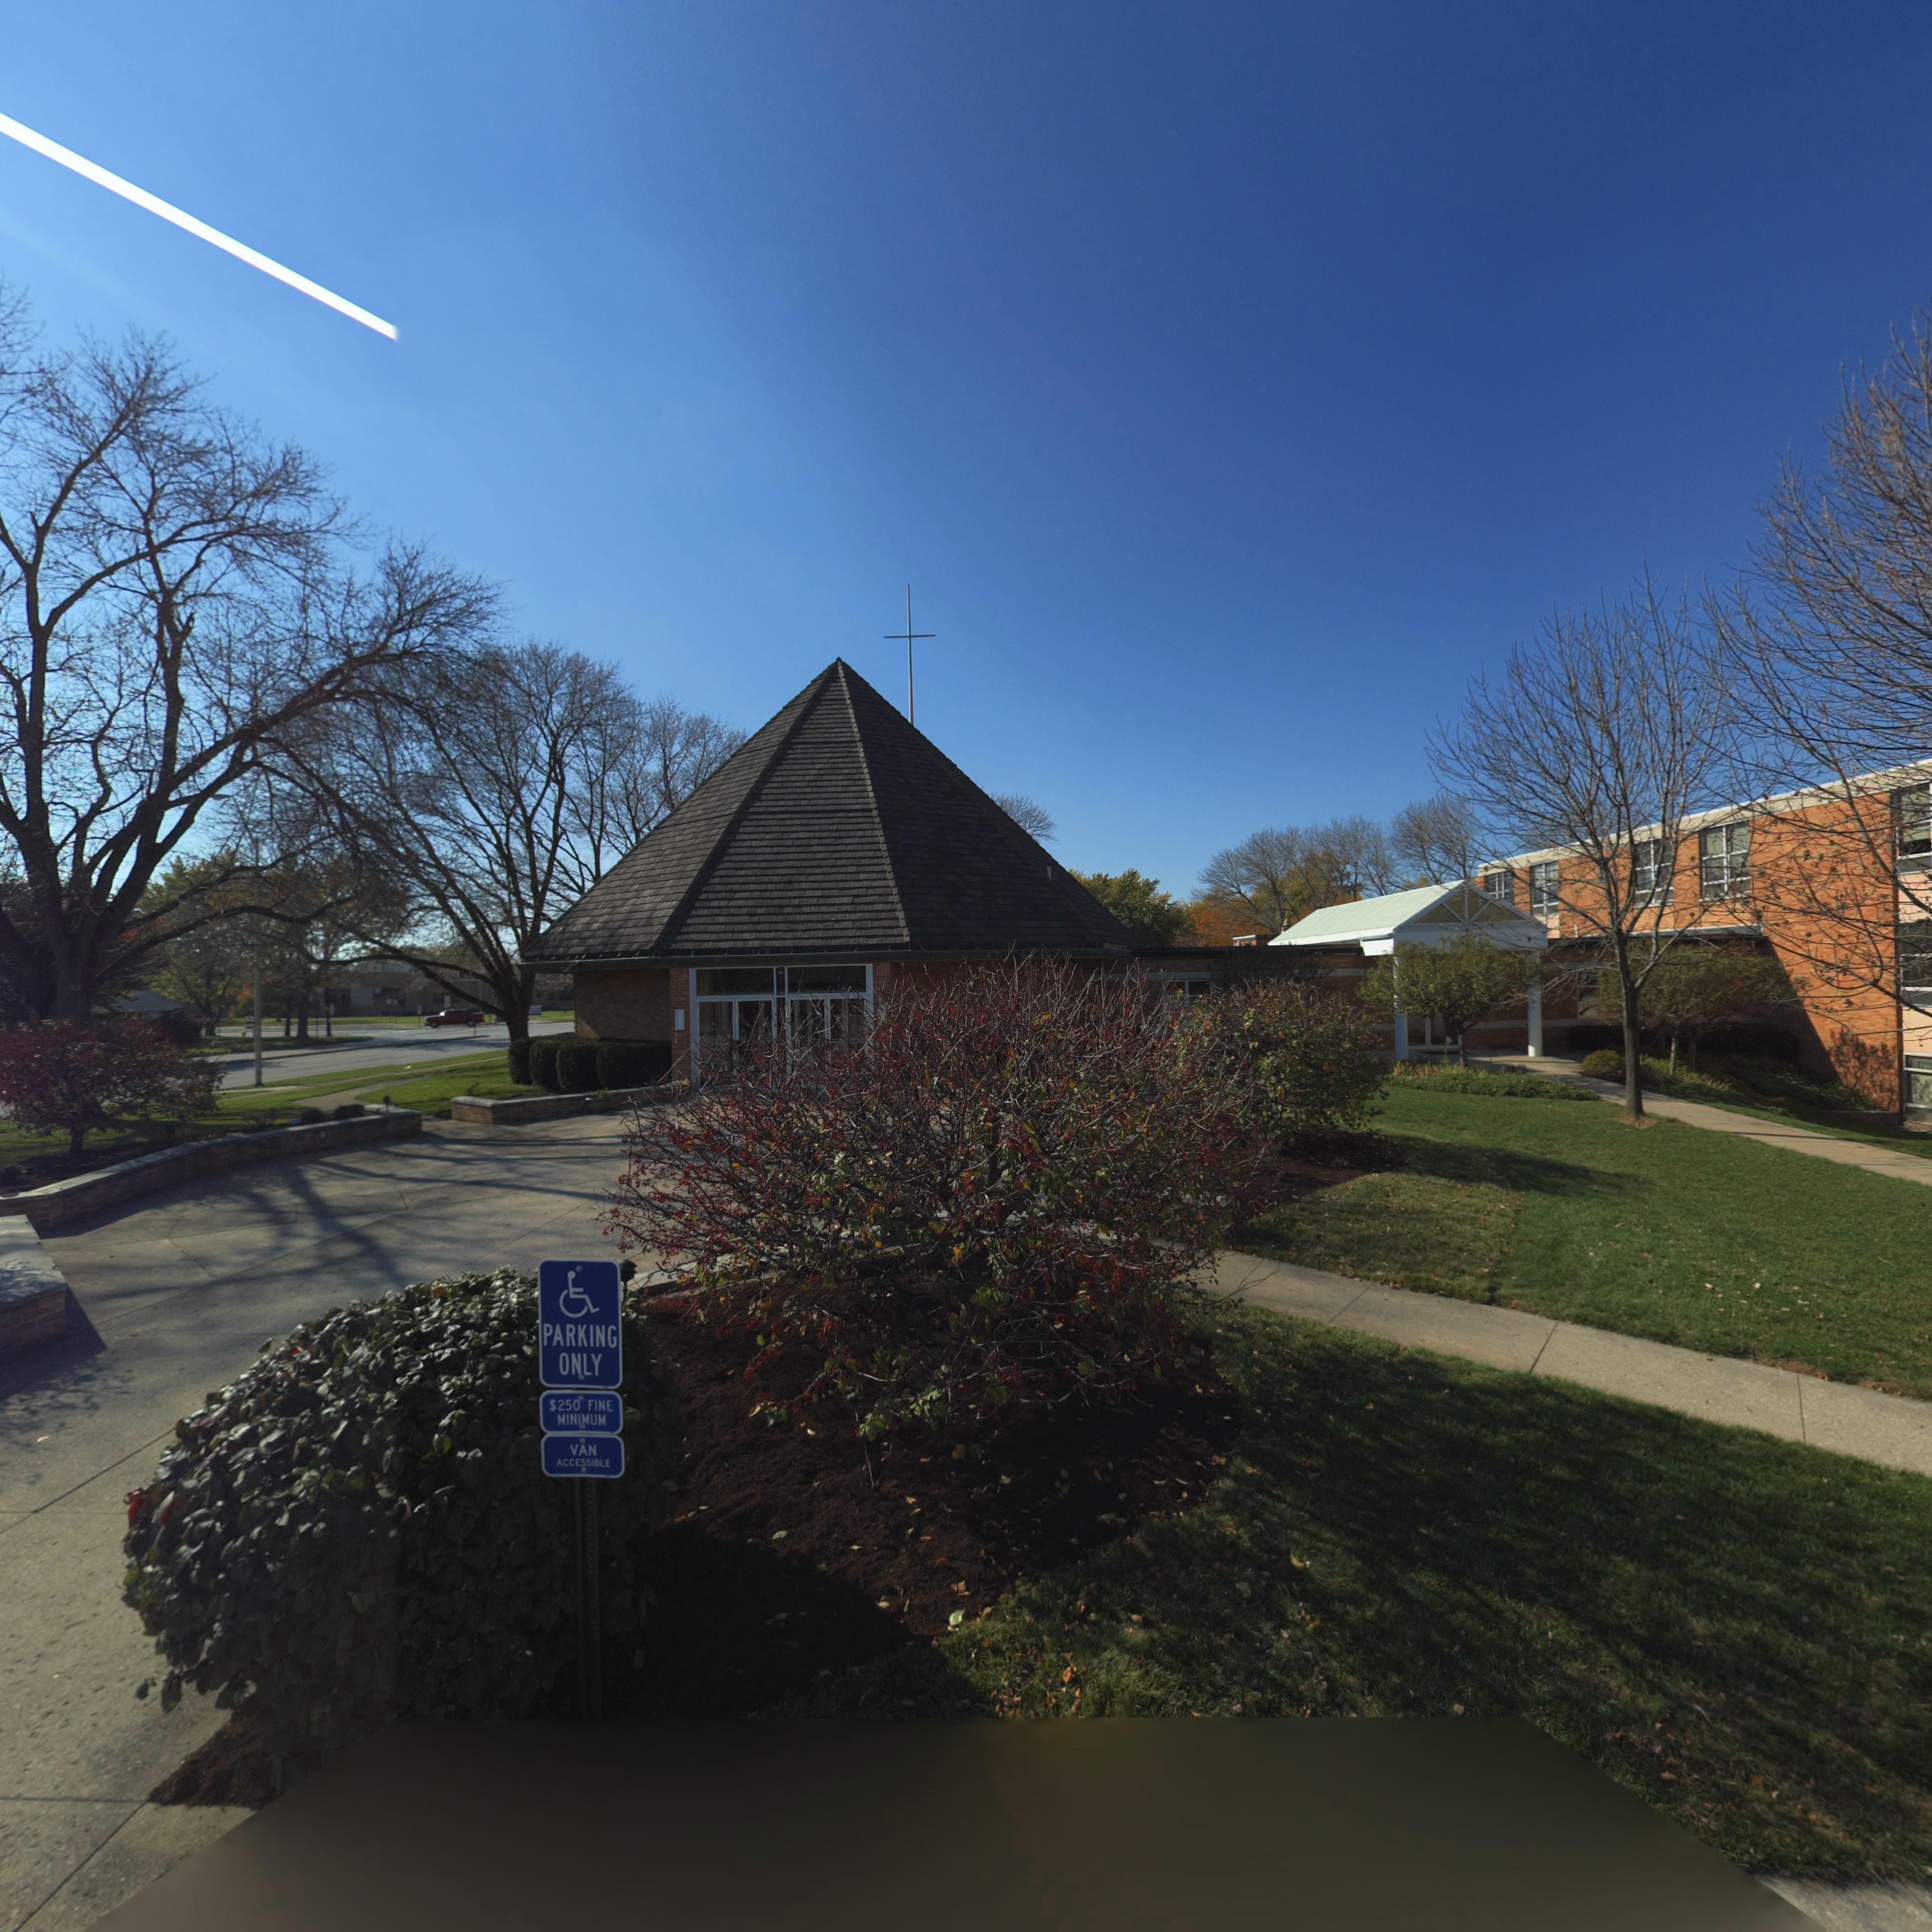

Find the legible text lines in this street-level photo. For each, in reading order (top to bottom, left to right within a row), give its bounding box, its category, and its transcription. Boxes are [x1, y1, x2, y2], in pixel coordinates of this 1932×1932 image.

[542, 1322, 618, 1349] None: PARKING
[559, 1352, 603, 1377] None: ONLY
[549, 1398, 613, 1412] None: $250 FINE
[557, 1413, 607, 1426] None: MINIMUM
[569, 1444, 597, 1457] None: VAN
[556, 1458, 611, 1468] None: ACCESSIBLE